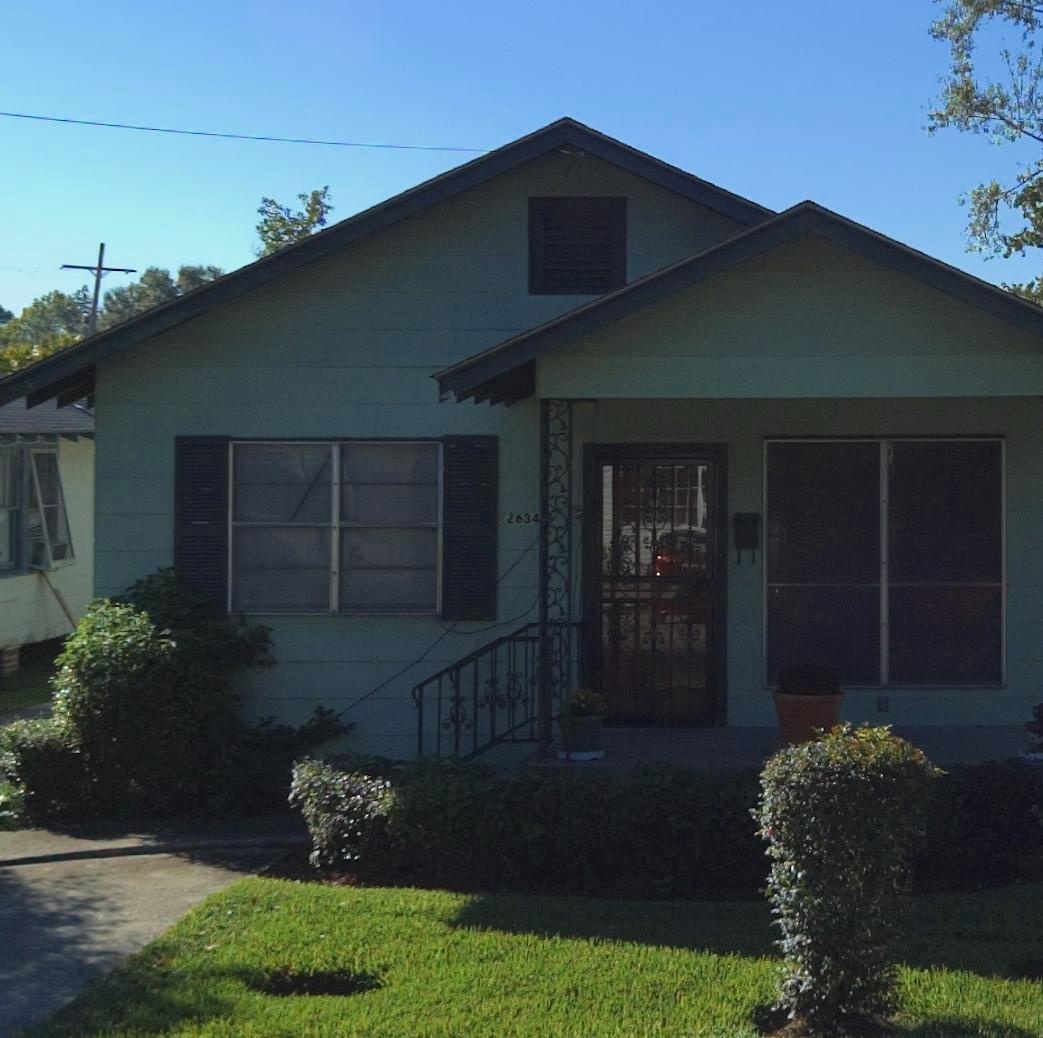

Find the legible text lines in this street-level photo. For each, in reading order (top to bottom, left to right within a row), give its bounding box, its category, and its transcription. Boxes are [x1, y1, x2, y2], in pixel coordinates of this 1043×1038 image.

[506, 511, 541, 526] StreetNumber: 2634